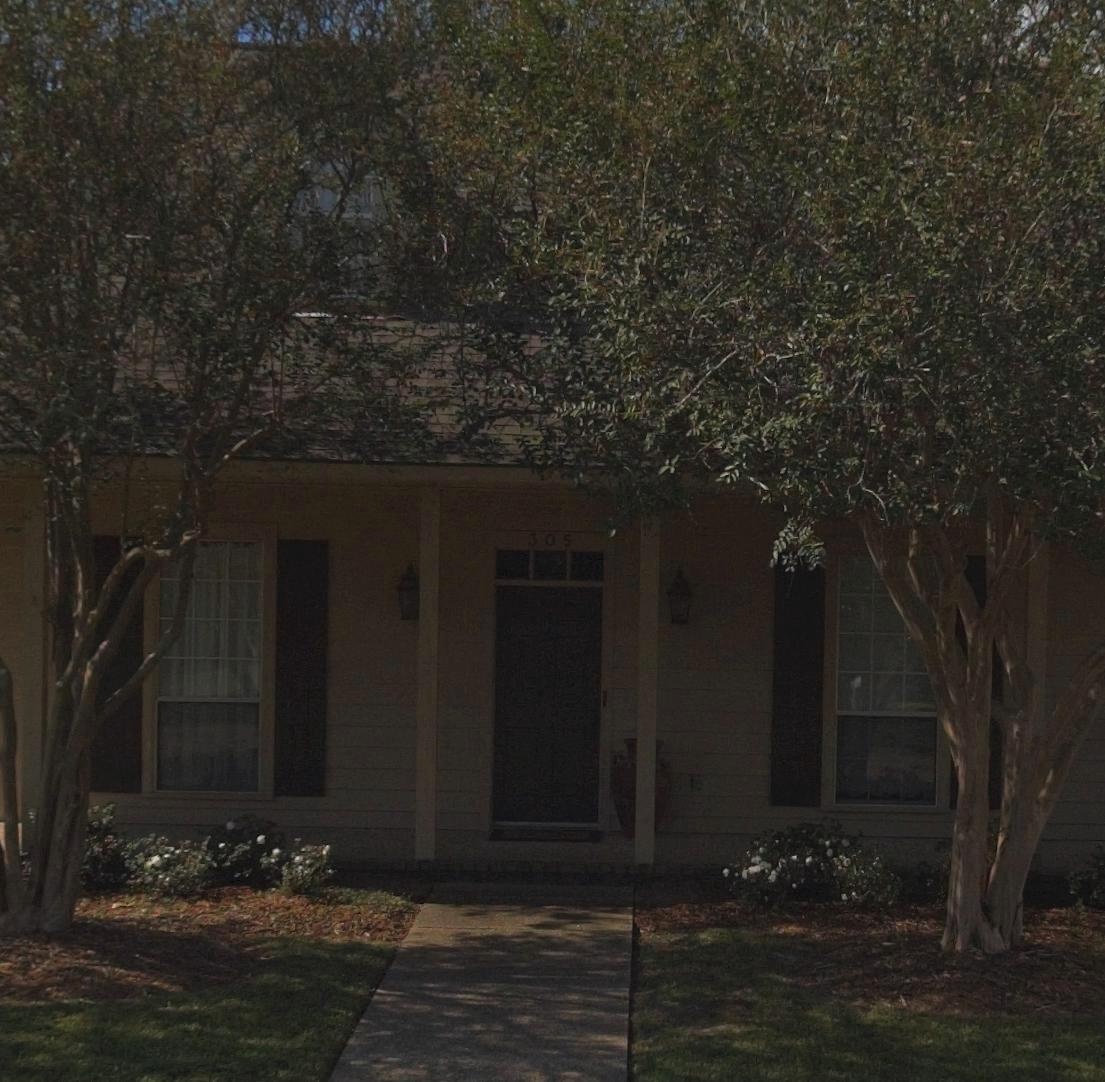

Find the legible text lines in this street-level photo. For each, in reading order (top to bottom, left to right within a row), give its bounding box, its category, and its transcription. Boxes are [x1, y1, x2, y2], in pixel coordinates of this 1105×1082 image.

[526, 531, 573, 548] StreetNumber: 305